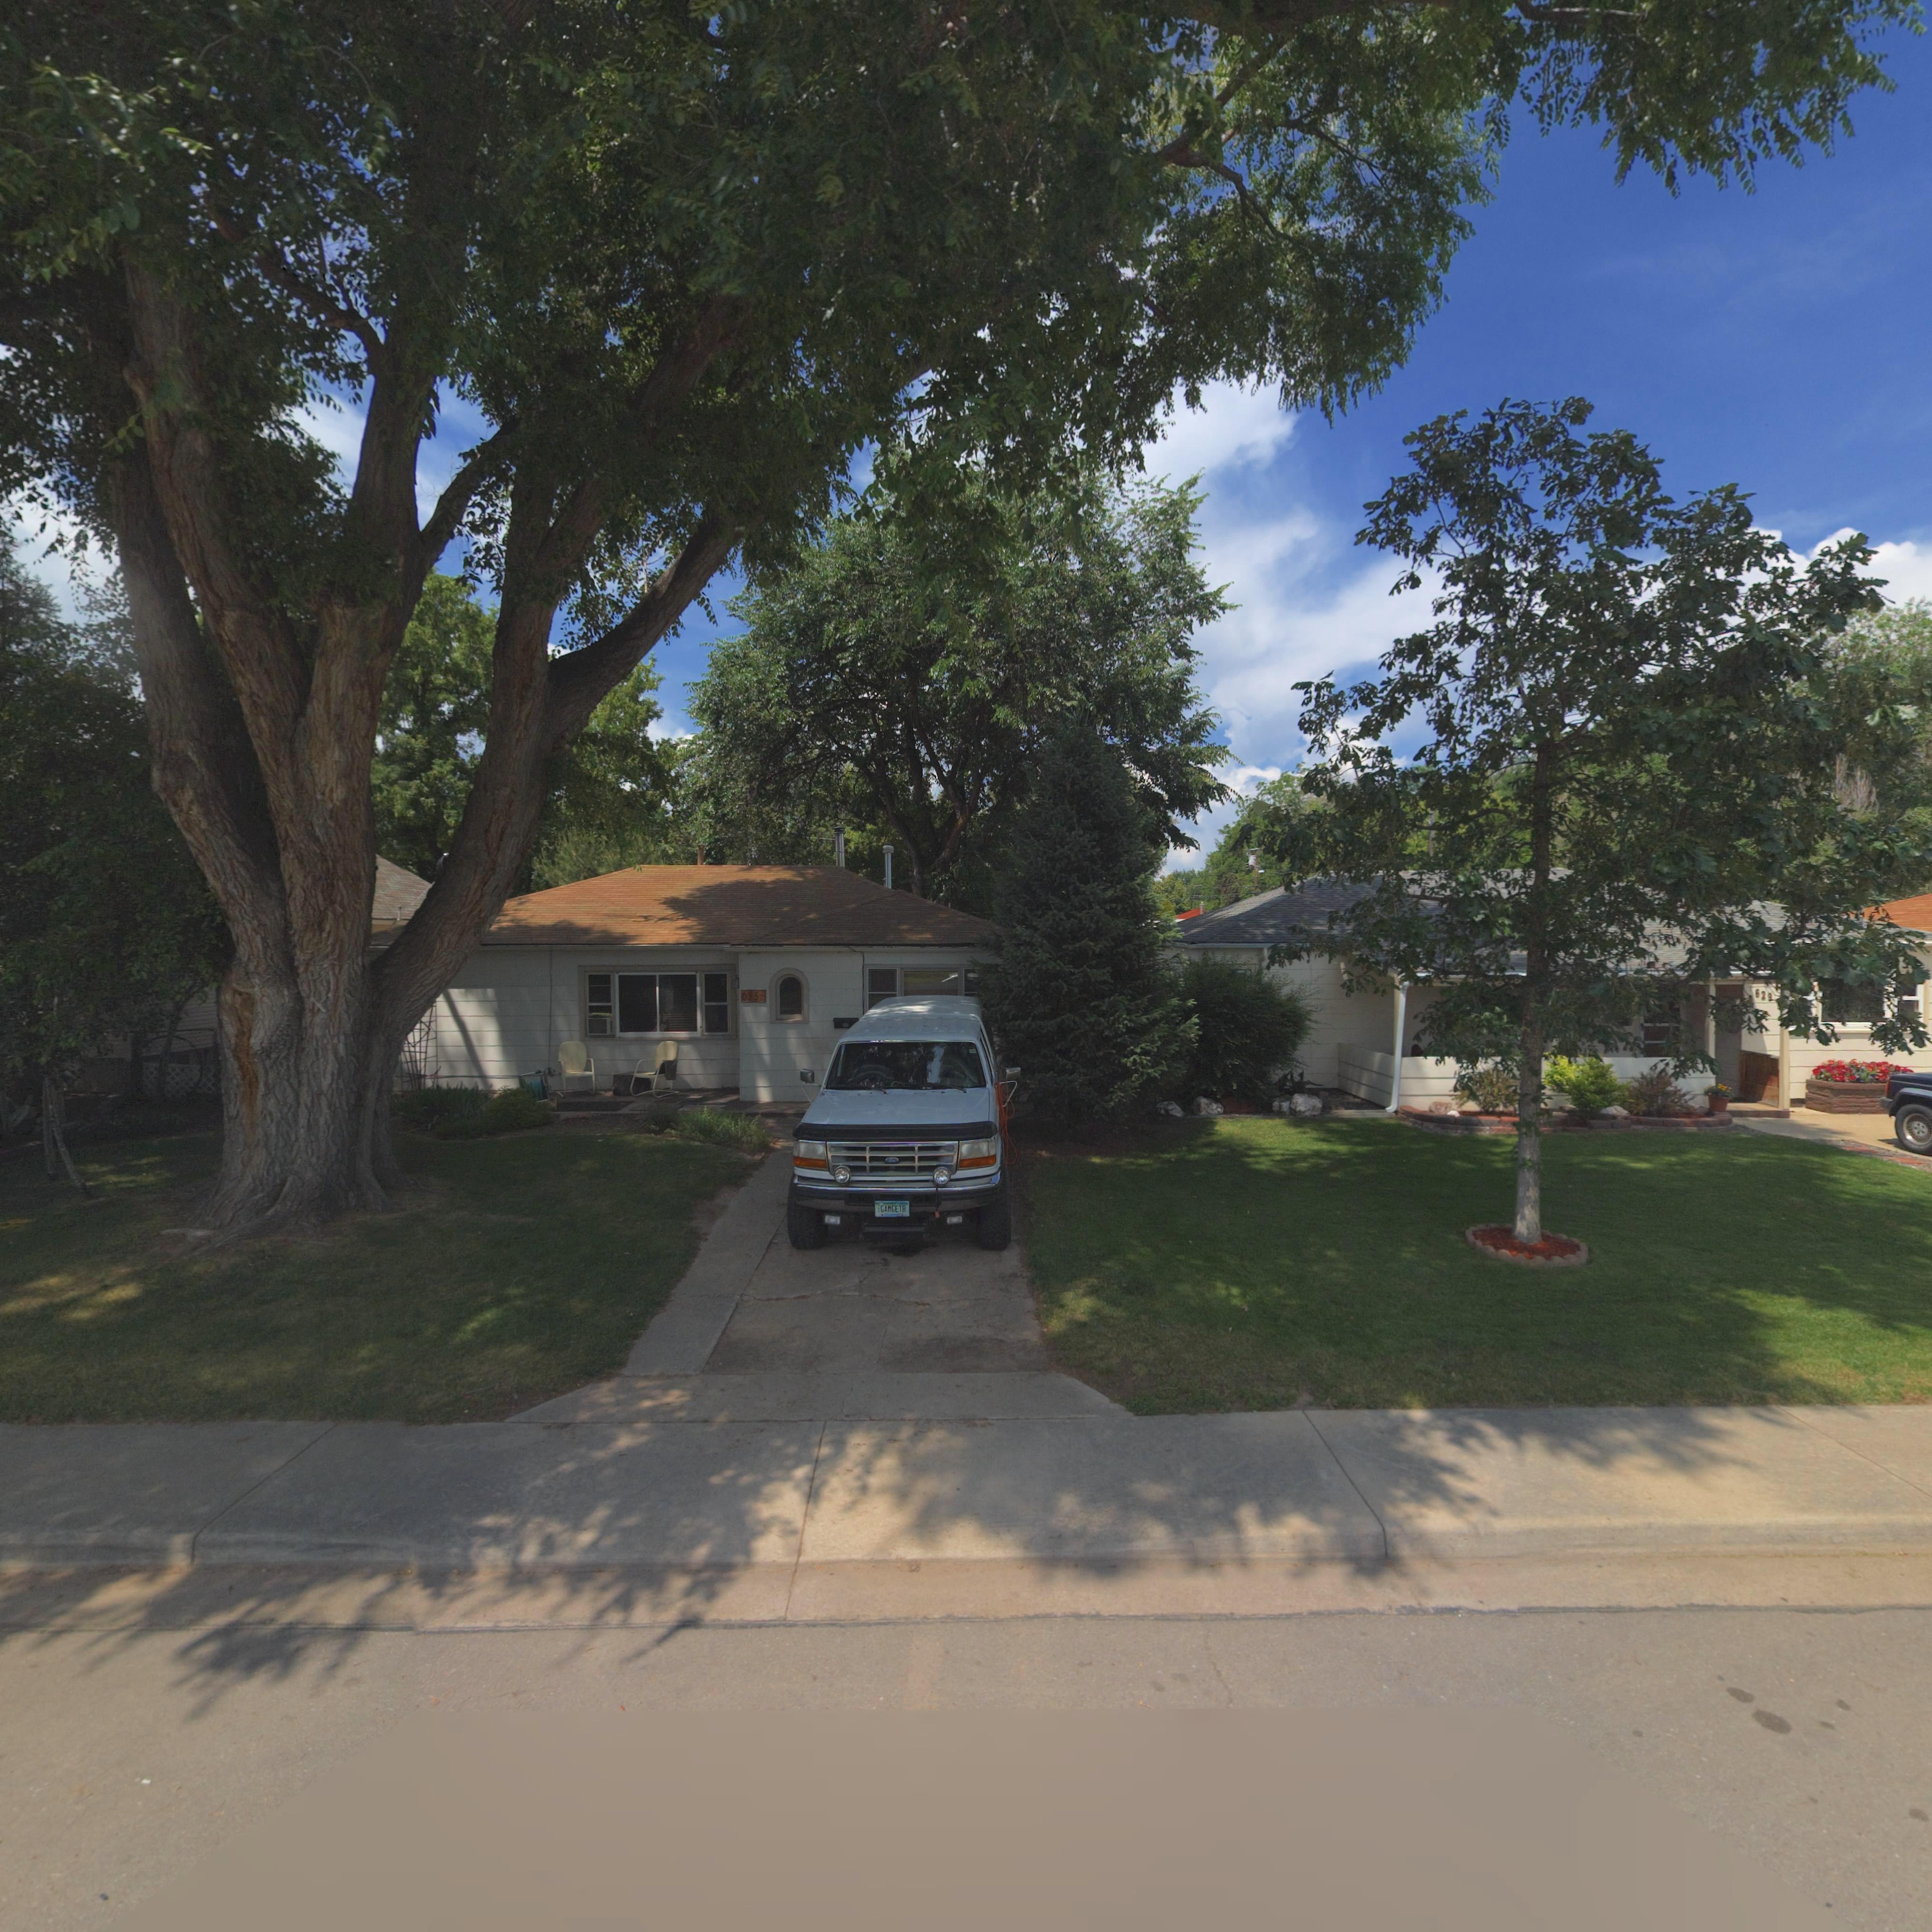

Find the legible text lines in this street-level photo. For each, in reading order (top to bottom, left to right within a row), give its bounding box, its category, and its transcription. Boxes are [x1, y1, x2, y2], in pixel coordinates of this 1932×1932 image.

[742, 990, 758, 1001] StreetNumber: 625
[1755, 988, 1772, 1001] StreetNumber: 629